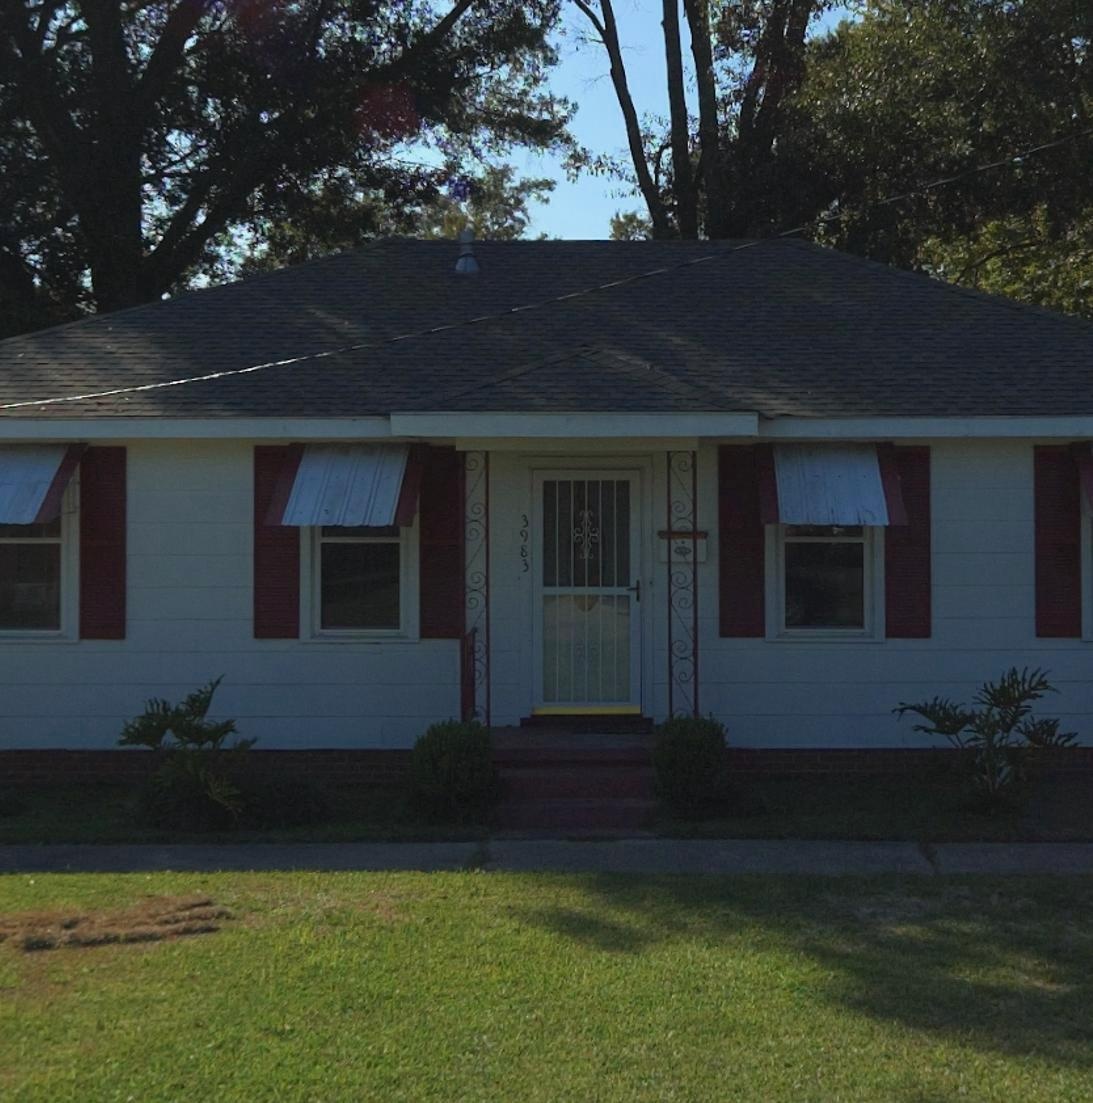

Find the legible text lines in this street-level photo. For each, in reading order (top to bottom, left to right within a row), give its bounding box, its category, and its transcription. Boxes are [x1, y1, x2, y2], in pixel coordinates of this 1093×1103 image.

[519, 513, 530, 573] StreetNumber: 3983